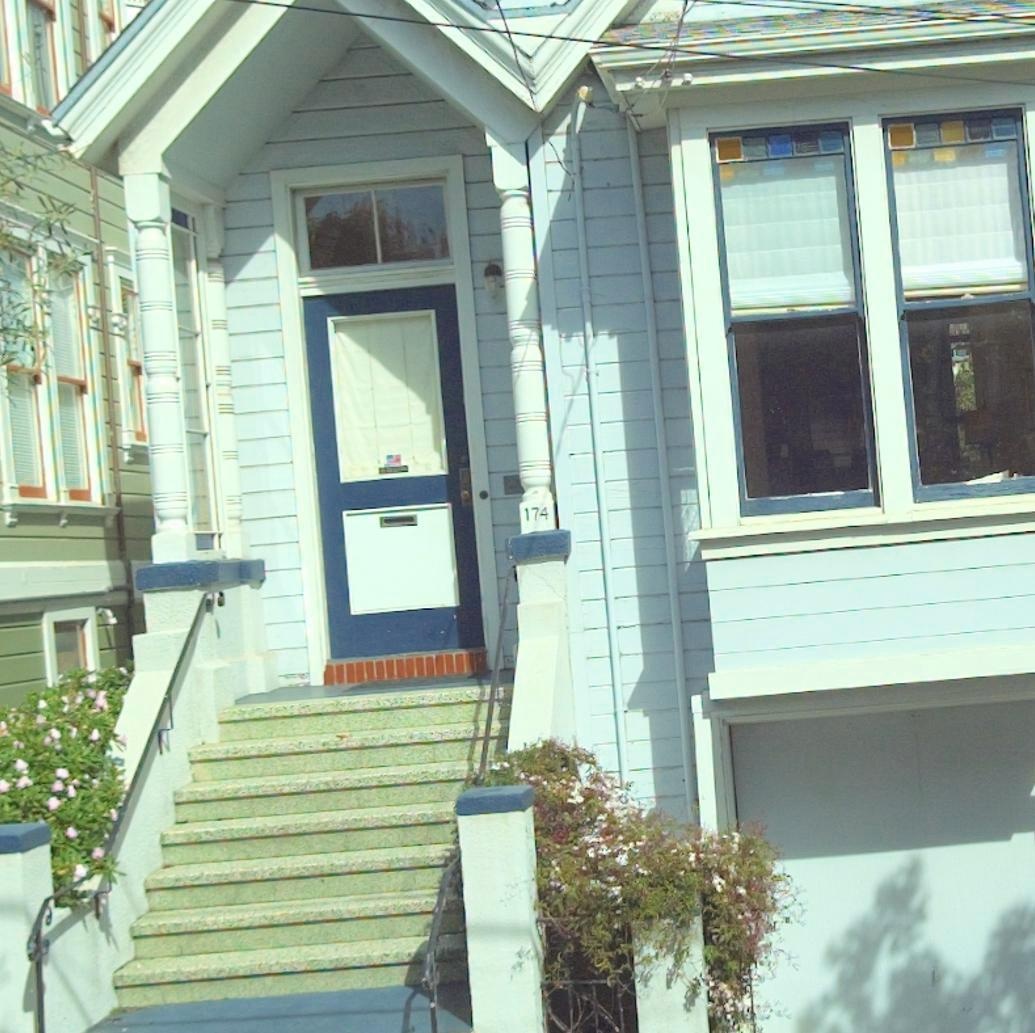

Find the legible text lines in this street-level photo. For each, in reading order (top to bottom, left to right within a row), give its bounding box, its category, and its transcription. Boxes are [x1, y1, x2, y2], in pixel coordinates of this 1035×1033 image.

[523, 506, 550, 522] StreetNumber: 174